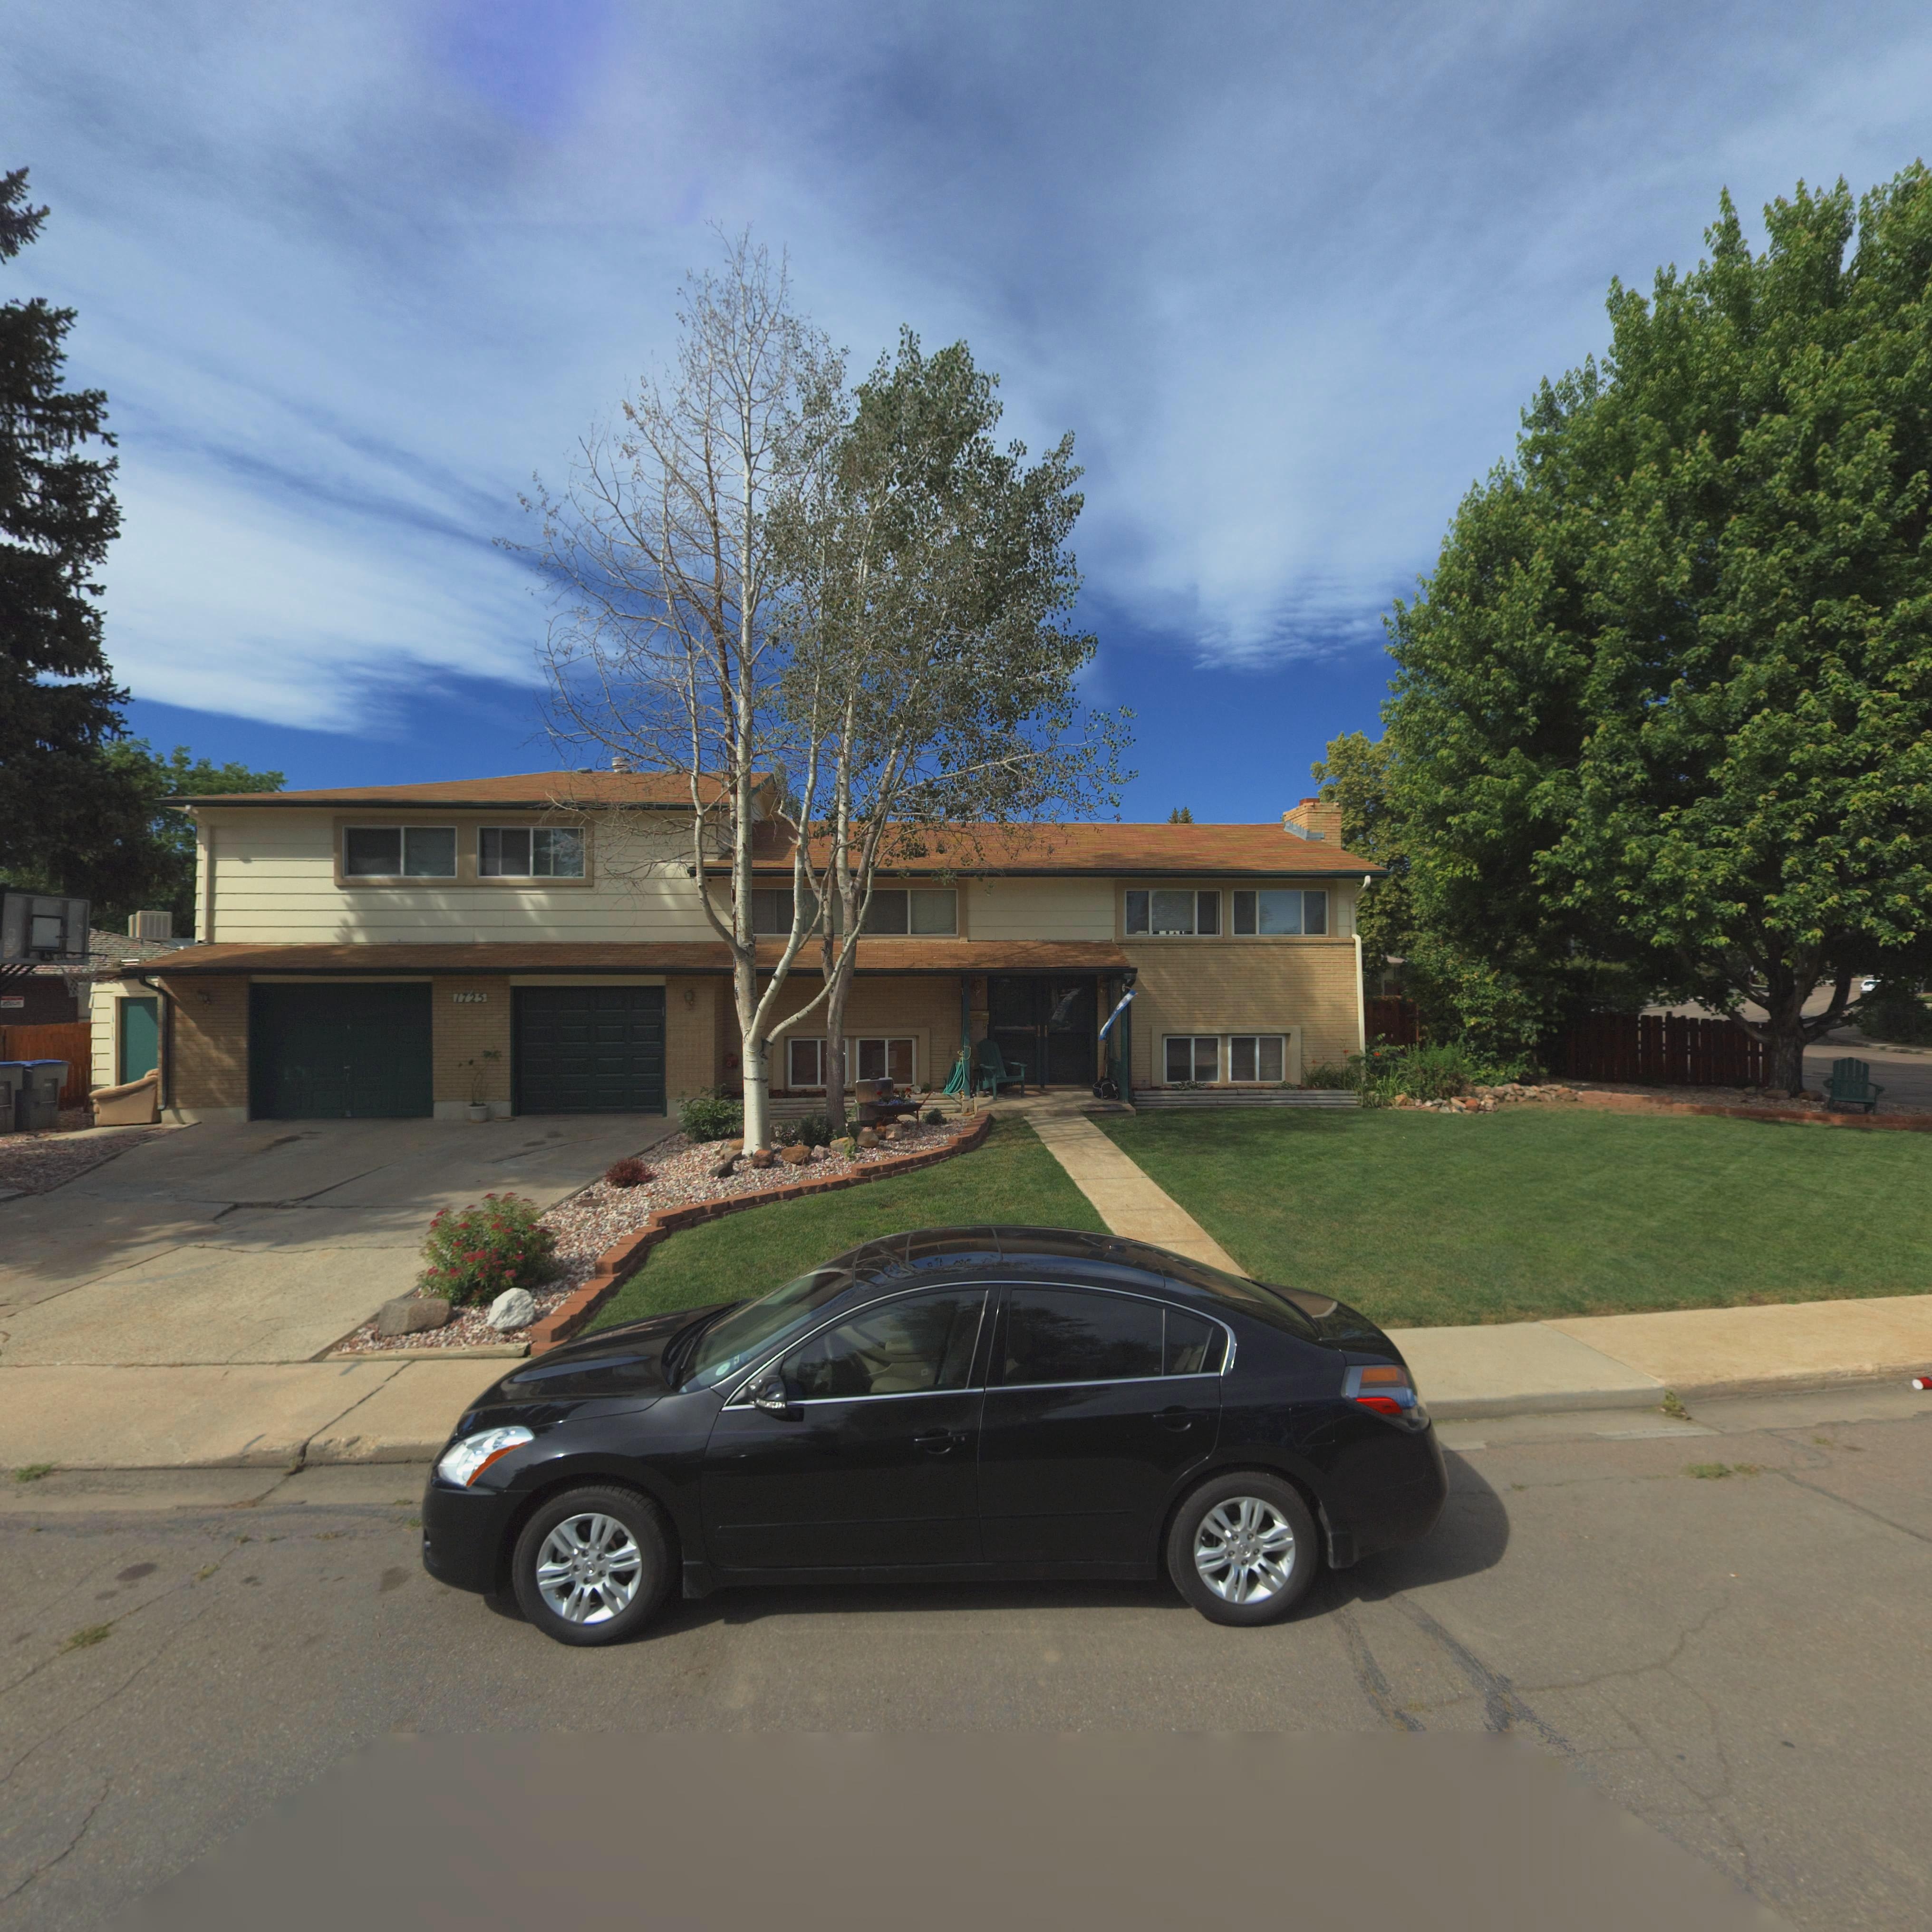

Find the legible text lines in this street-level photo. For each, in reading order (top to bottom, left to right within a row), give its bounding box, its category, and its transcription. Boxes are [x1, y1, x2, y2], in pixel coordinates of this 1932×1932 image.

[455, 993, 484, 1002] StreetNumber: 1725